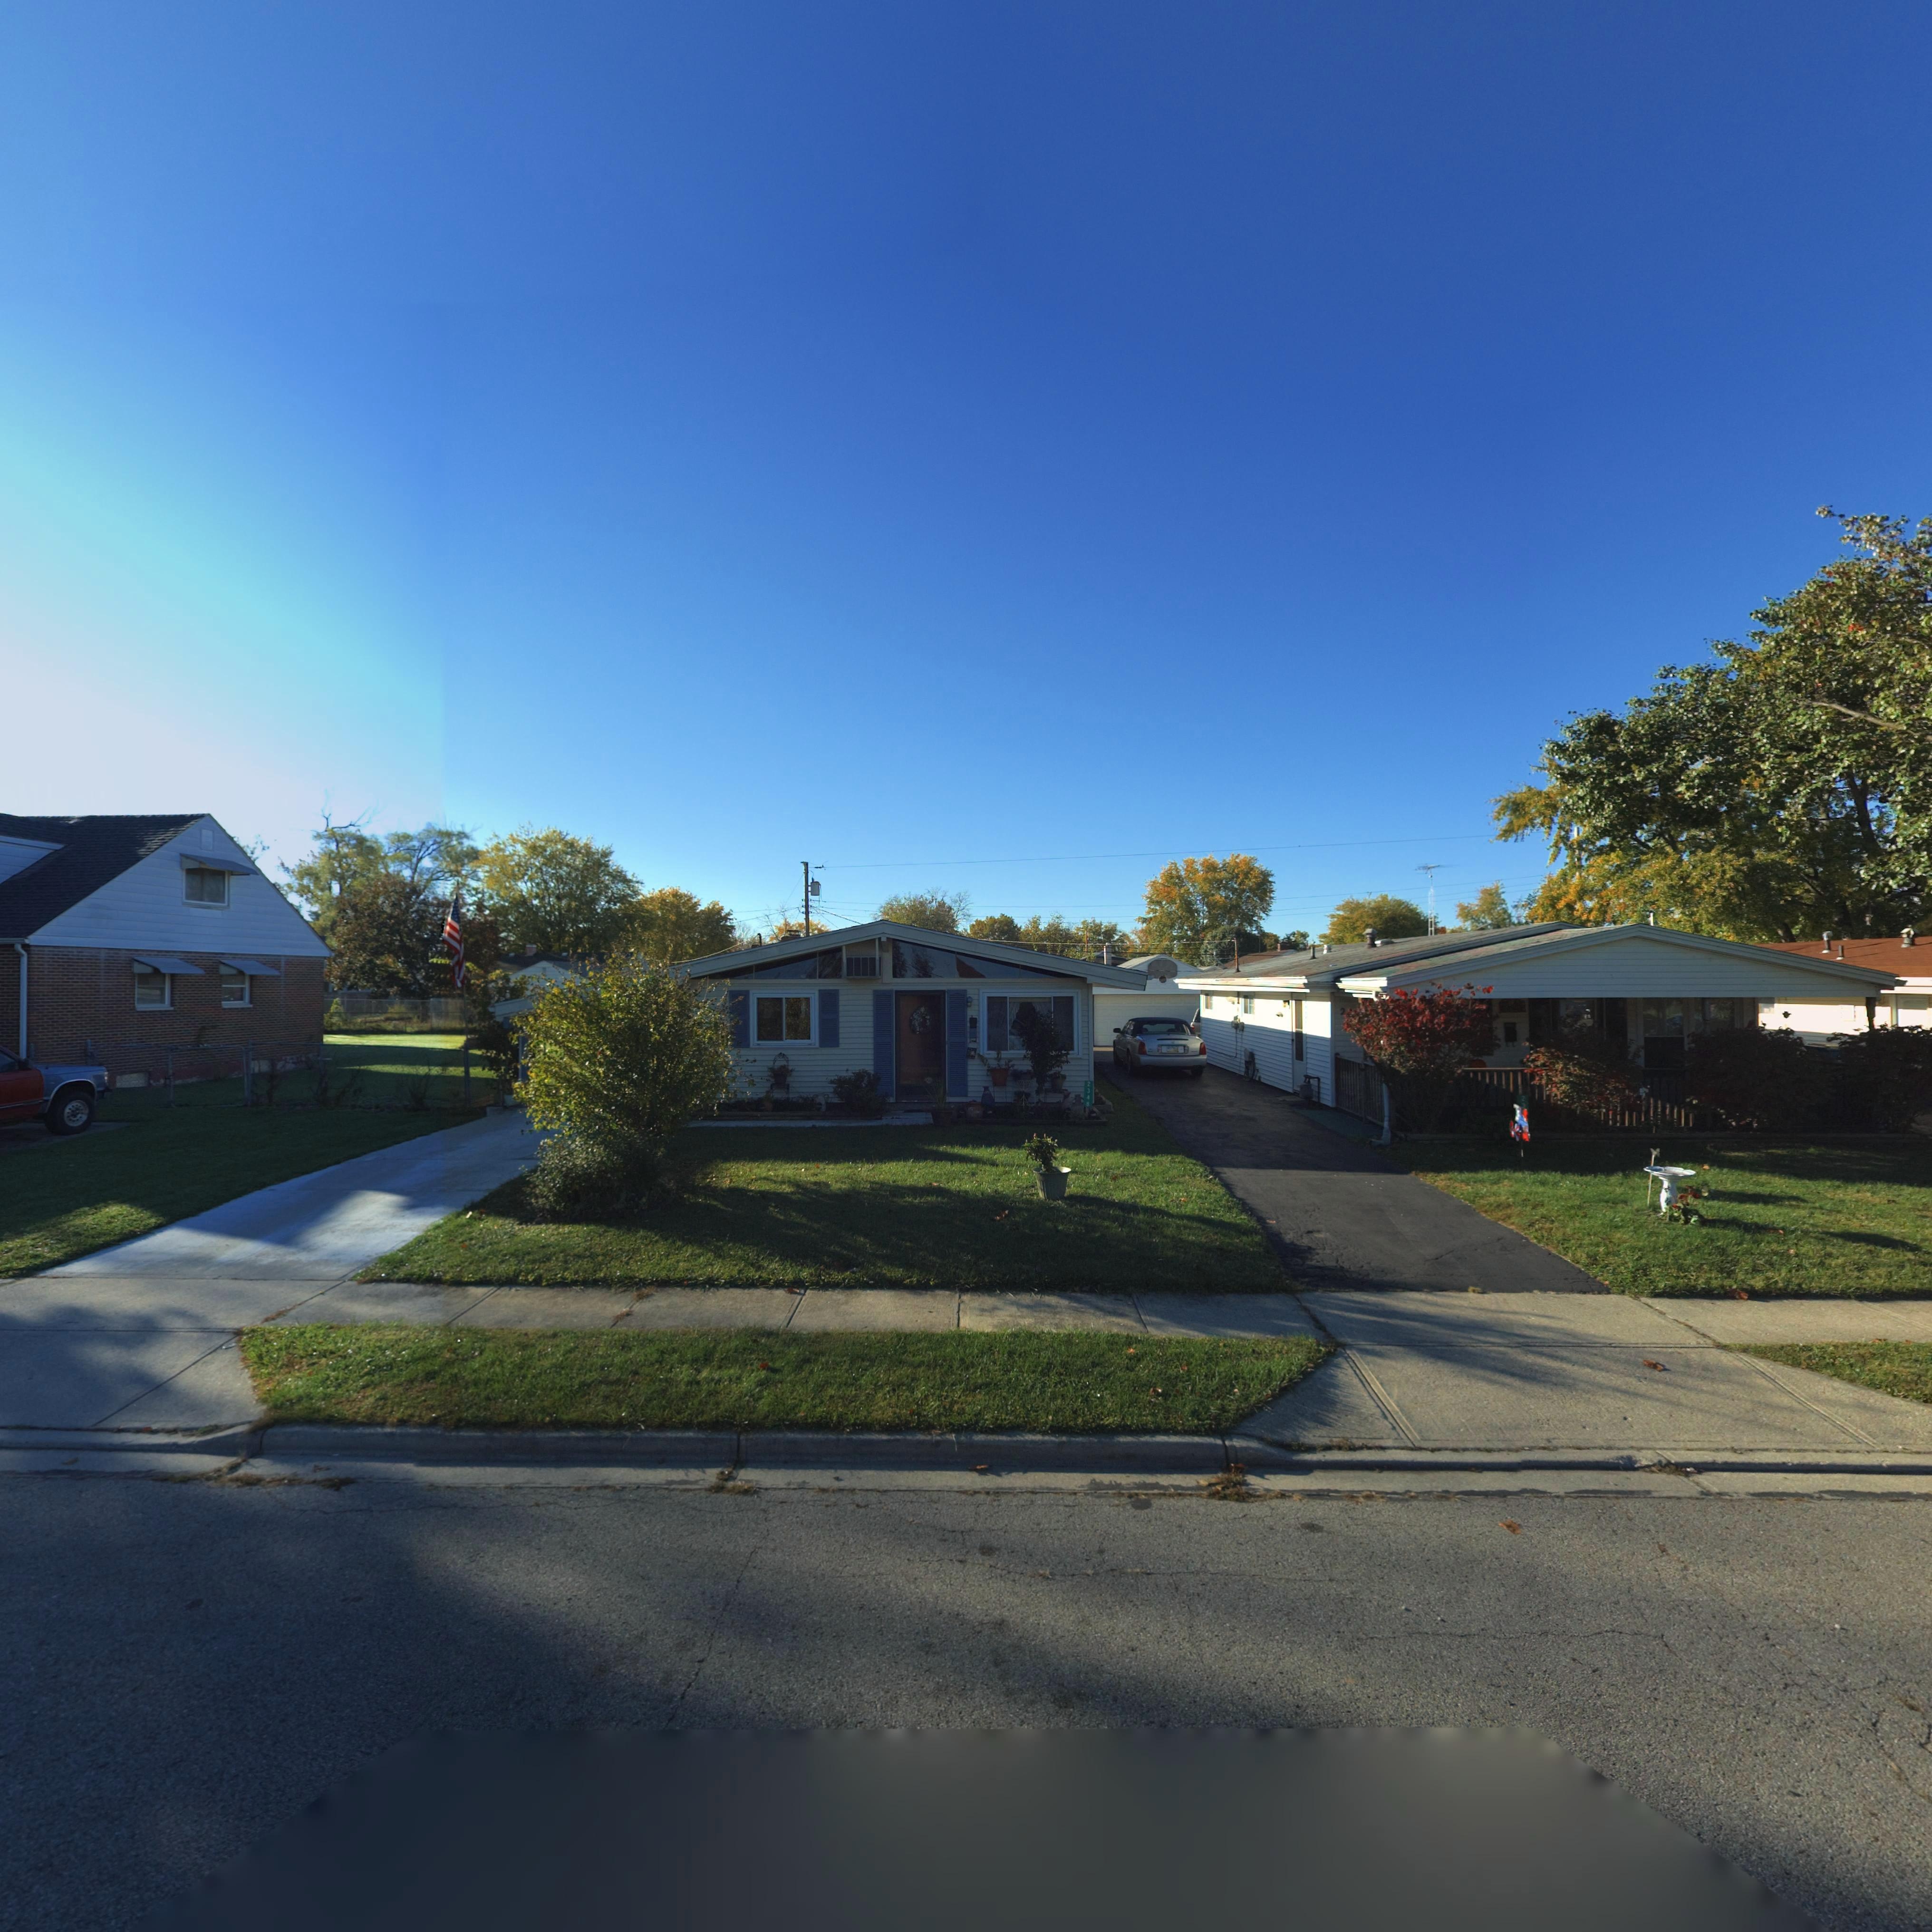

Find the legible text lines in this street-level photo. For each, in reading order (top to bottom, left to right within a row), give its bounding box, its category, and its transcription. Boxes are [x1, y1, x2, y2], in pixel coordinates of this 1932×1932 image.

[1339, 1007, 1347, 1016] StreetNumber: 2
[1085, 1081, 1092, 1108] StreetNumber: 2348
[1520, 1094, 1527, 1109] StreetNumber: 23